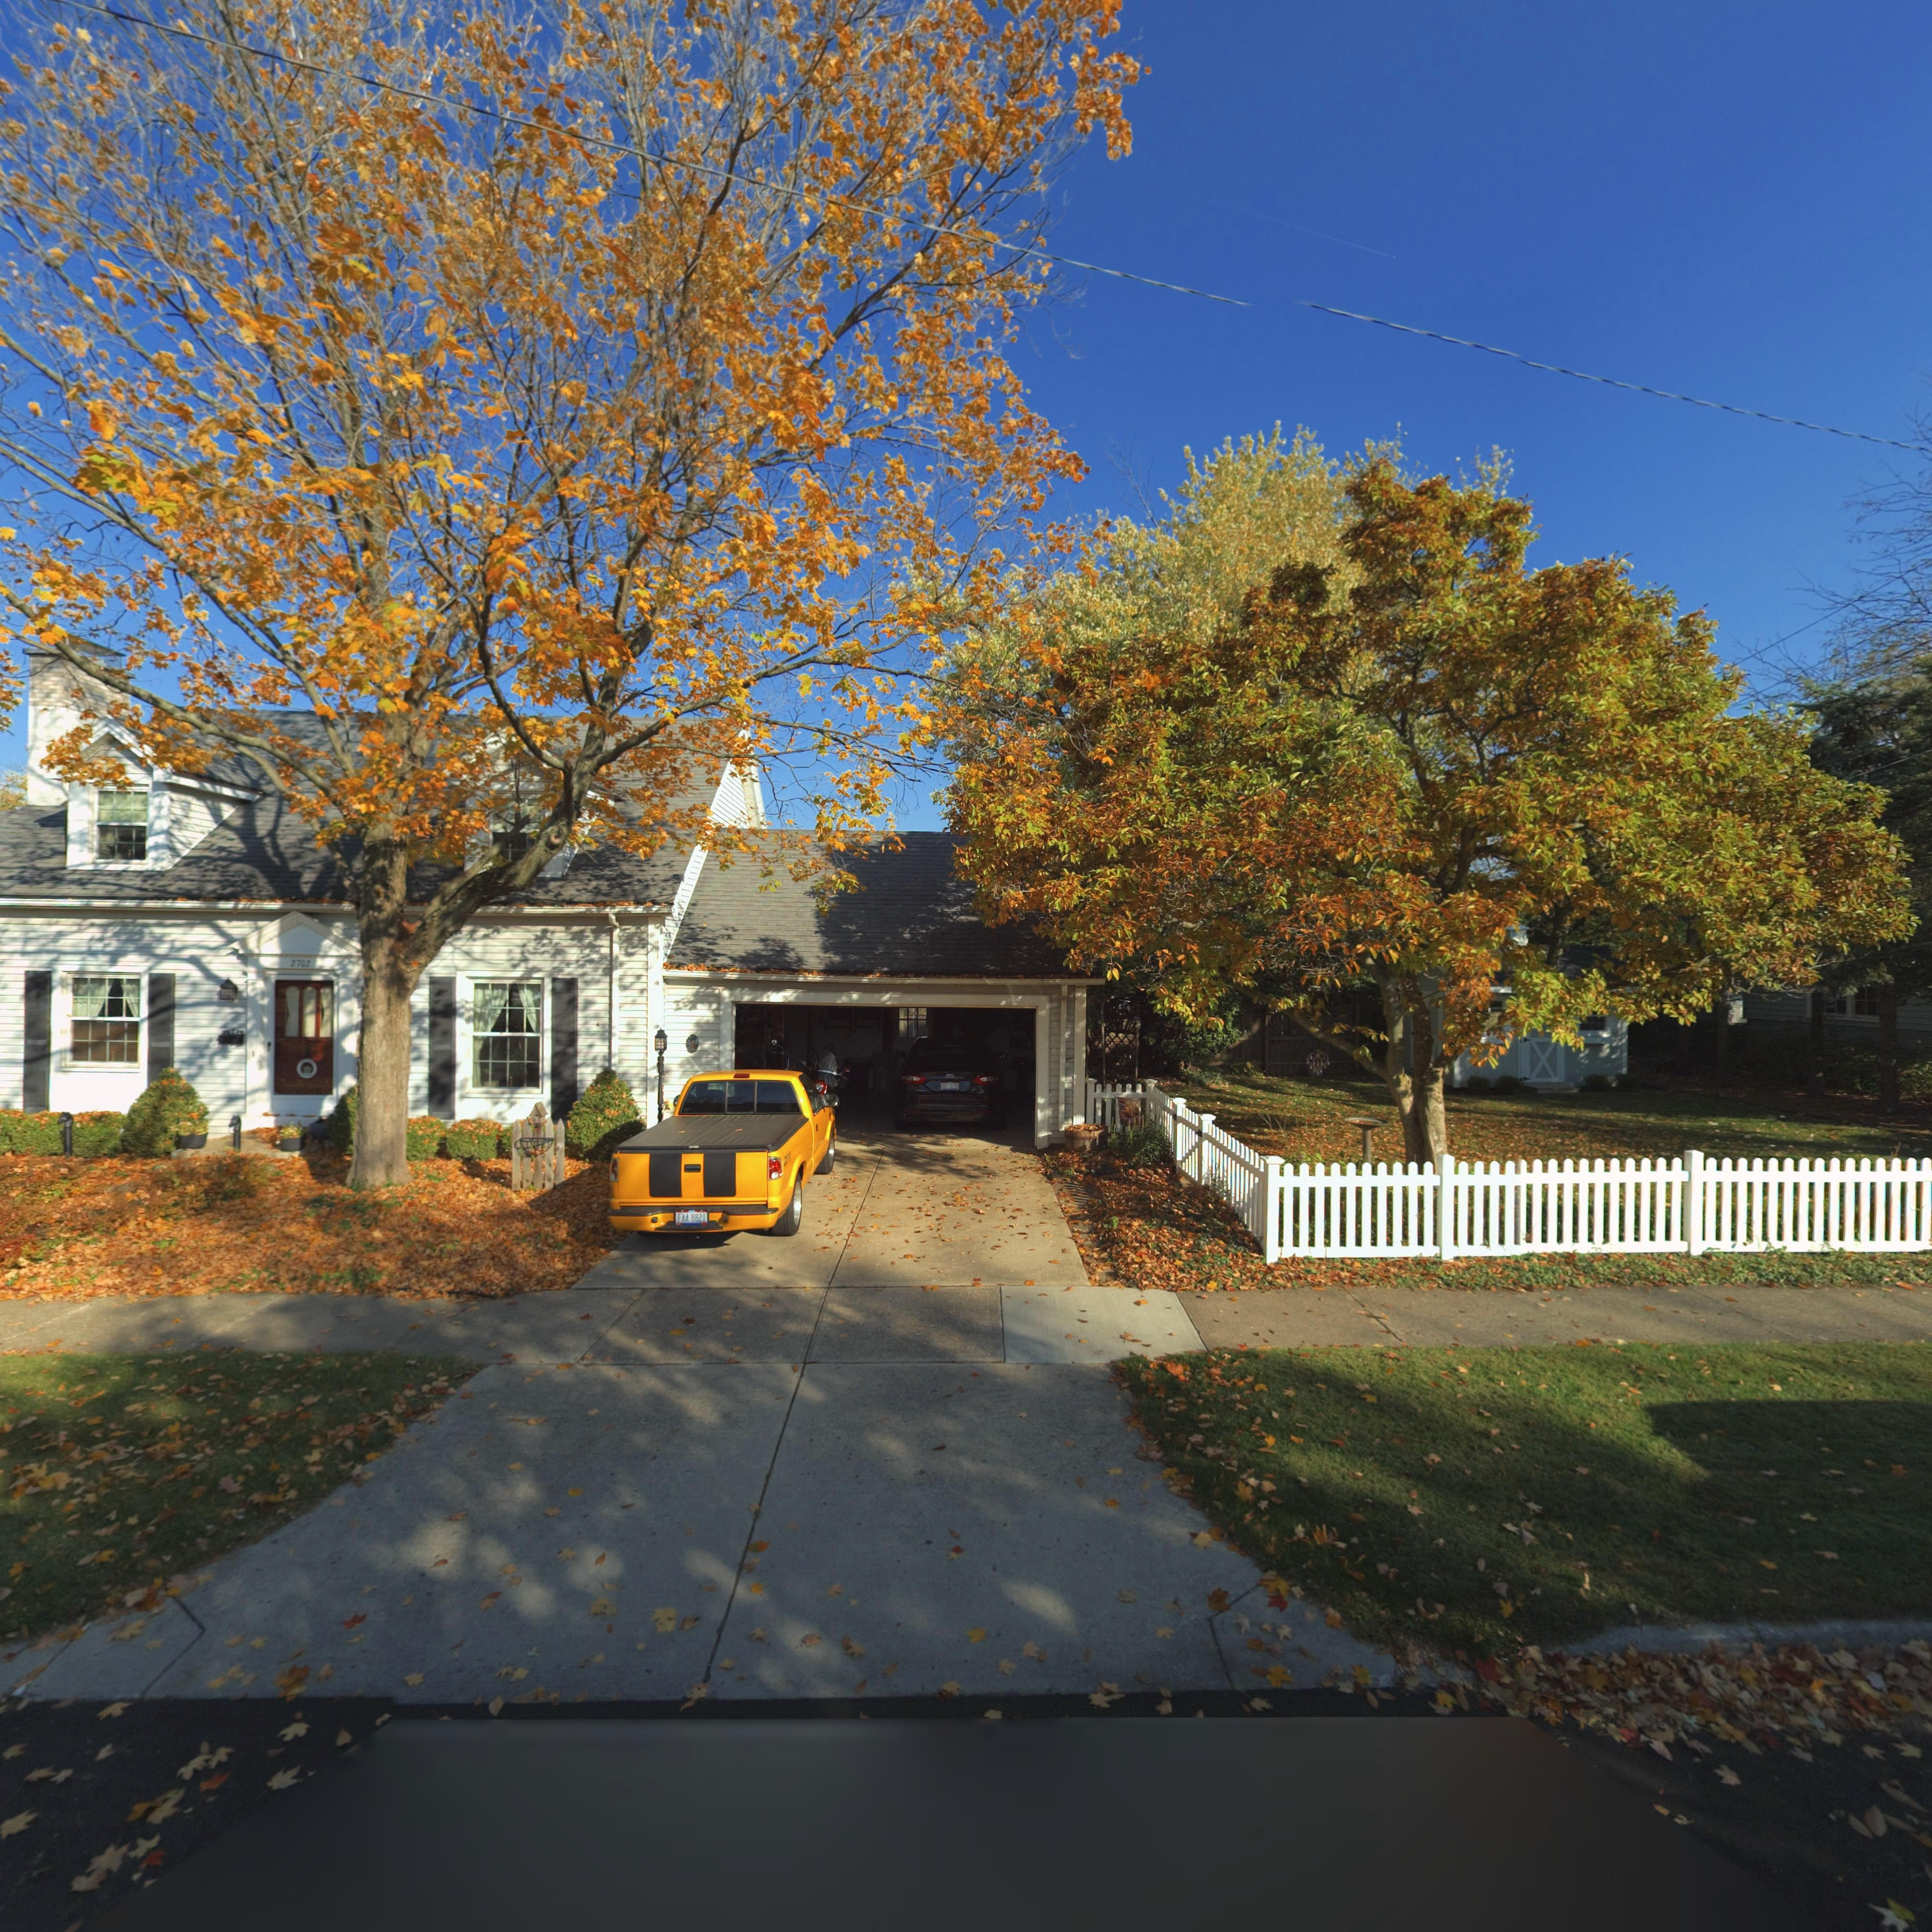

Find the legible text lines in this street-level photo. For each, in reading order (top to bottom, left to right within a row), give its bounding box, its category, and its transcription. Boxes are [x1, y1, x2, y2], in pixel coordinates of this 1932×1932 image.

[289, 958, 312, 969] StreetNumber: 2702
[948, 1082, 960, 1090] None: 91**
[676, 1212, 706, 1223] None: FAA 8821